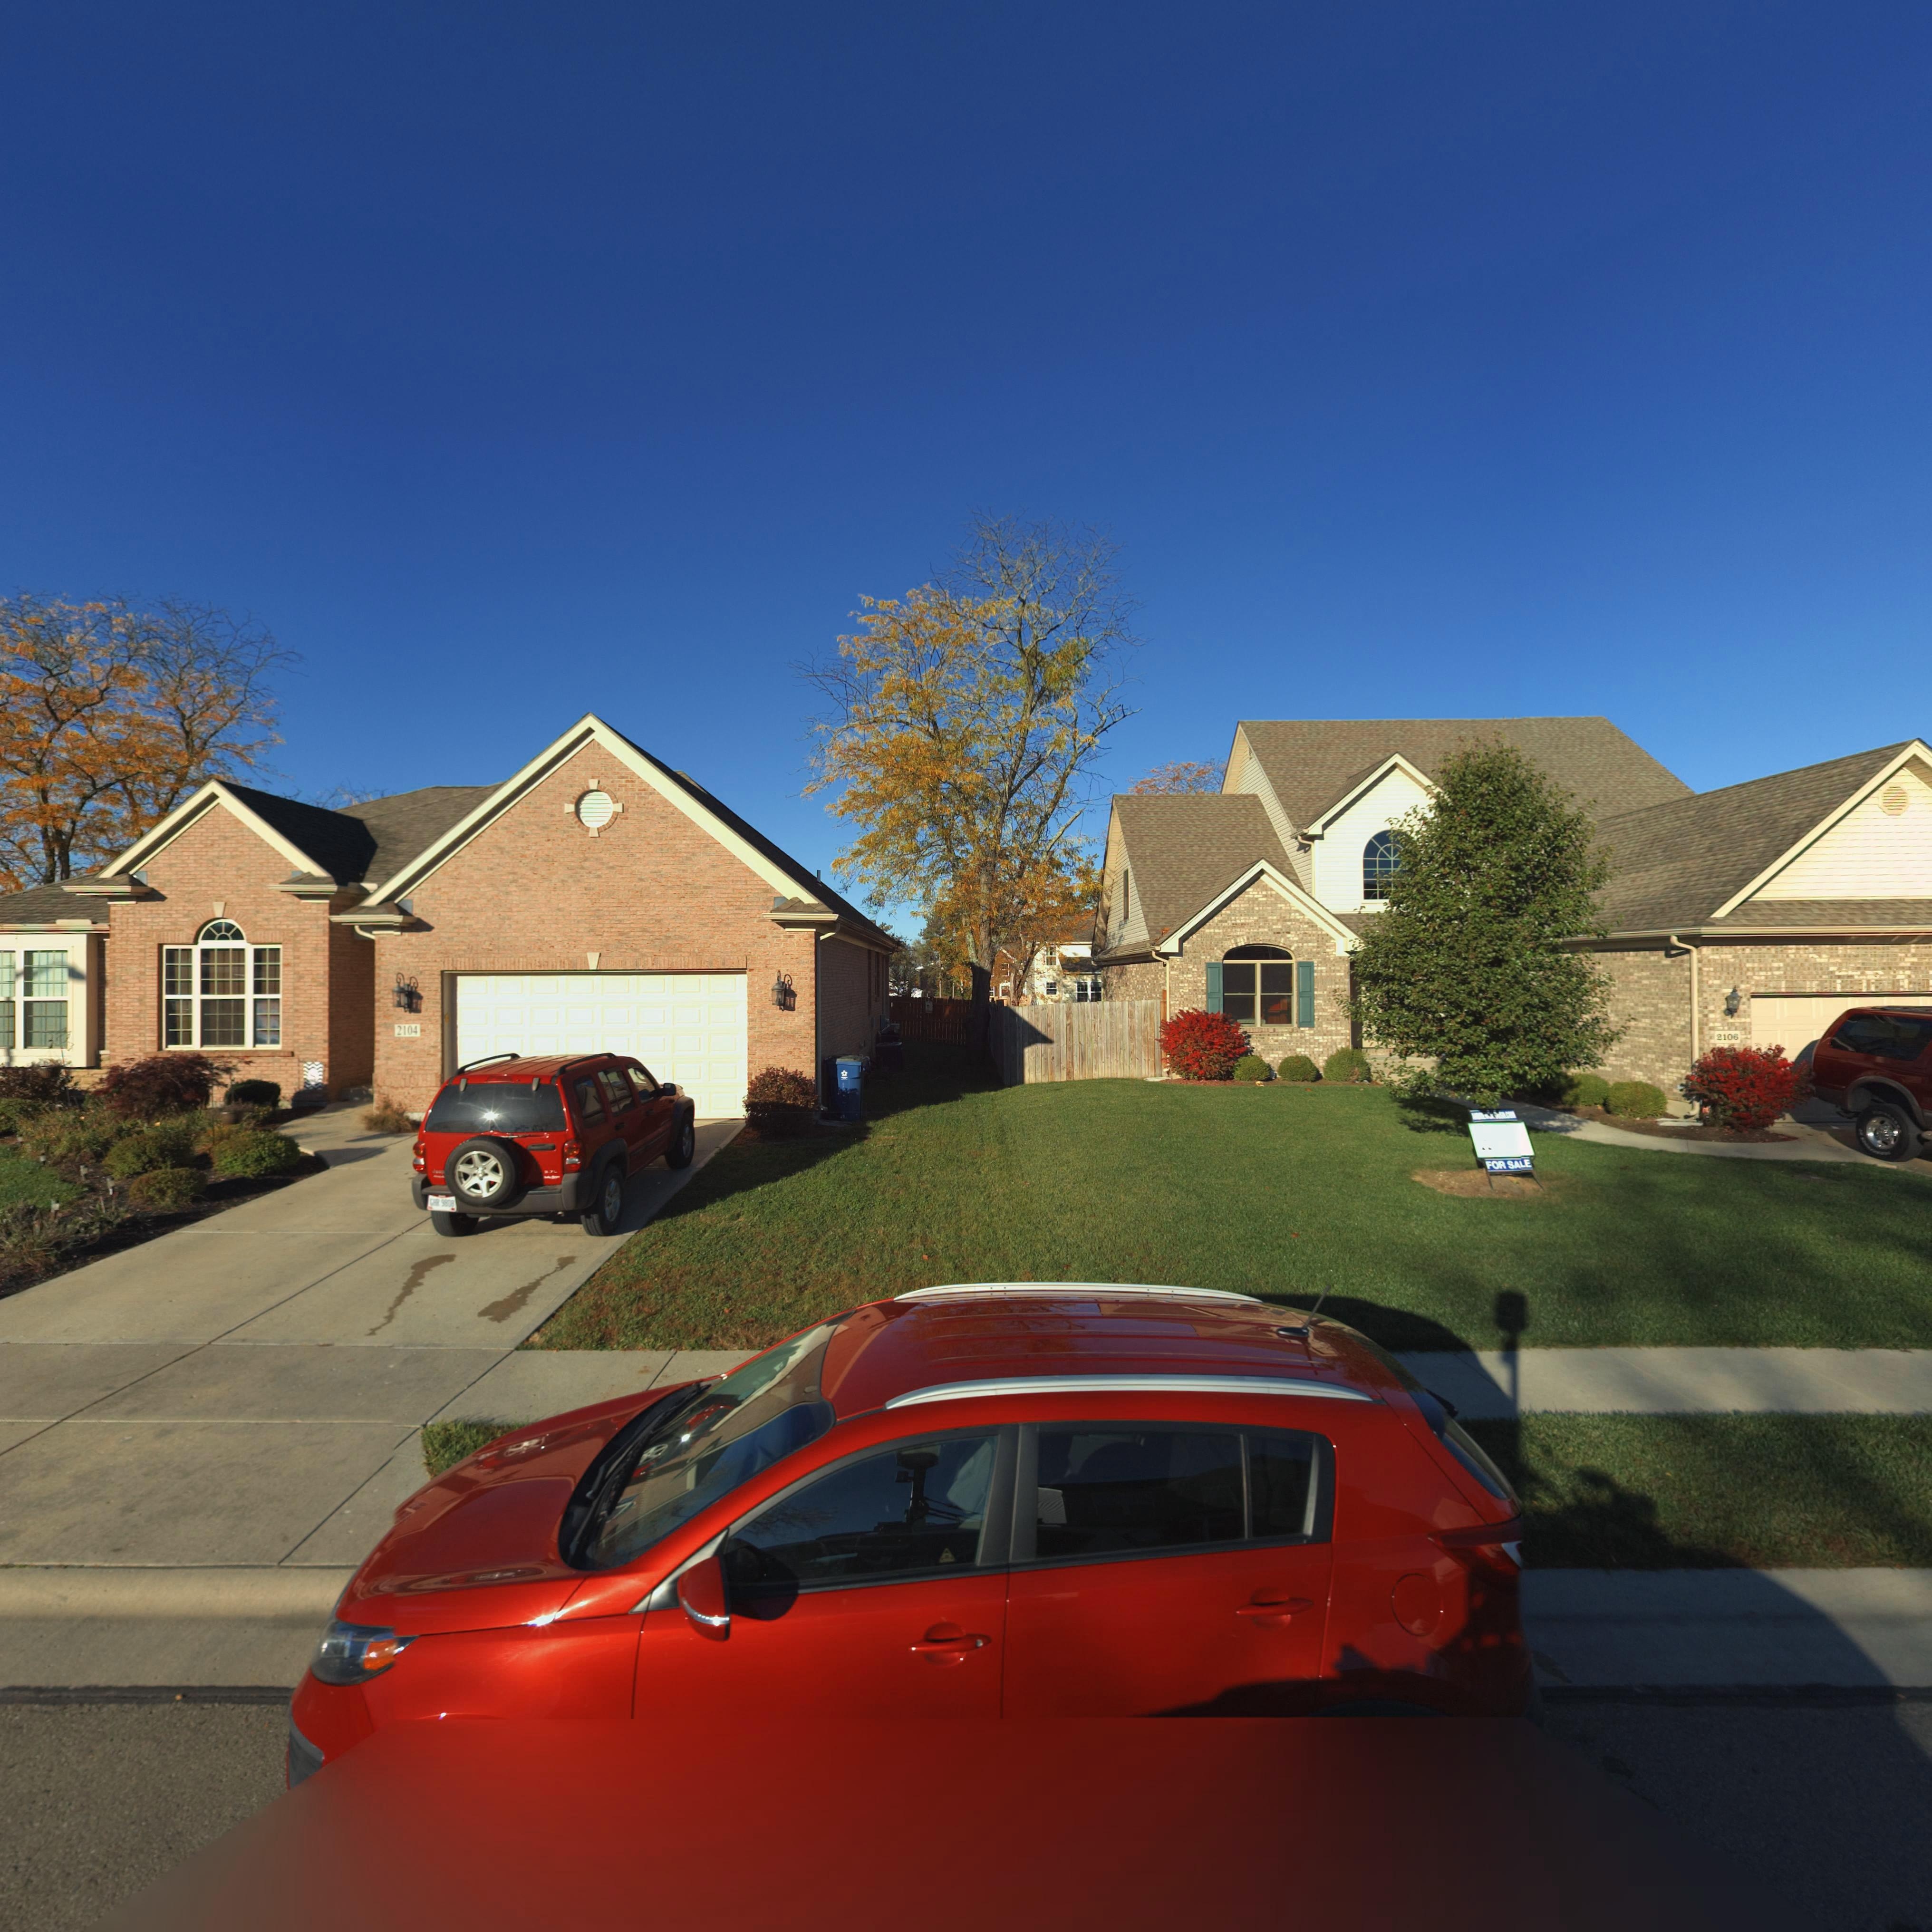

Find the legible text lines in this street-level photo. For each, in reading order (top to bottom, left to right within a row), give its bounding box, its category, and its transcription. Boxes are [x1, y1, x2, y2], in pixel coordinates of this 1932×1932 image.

[396, 1024, 419, 1036] StreetNumber: 2104